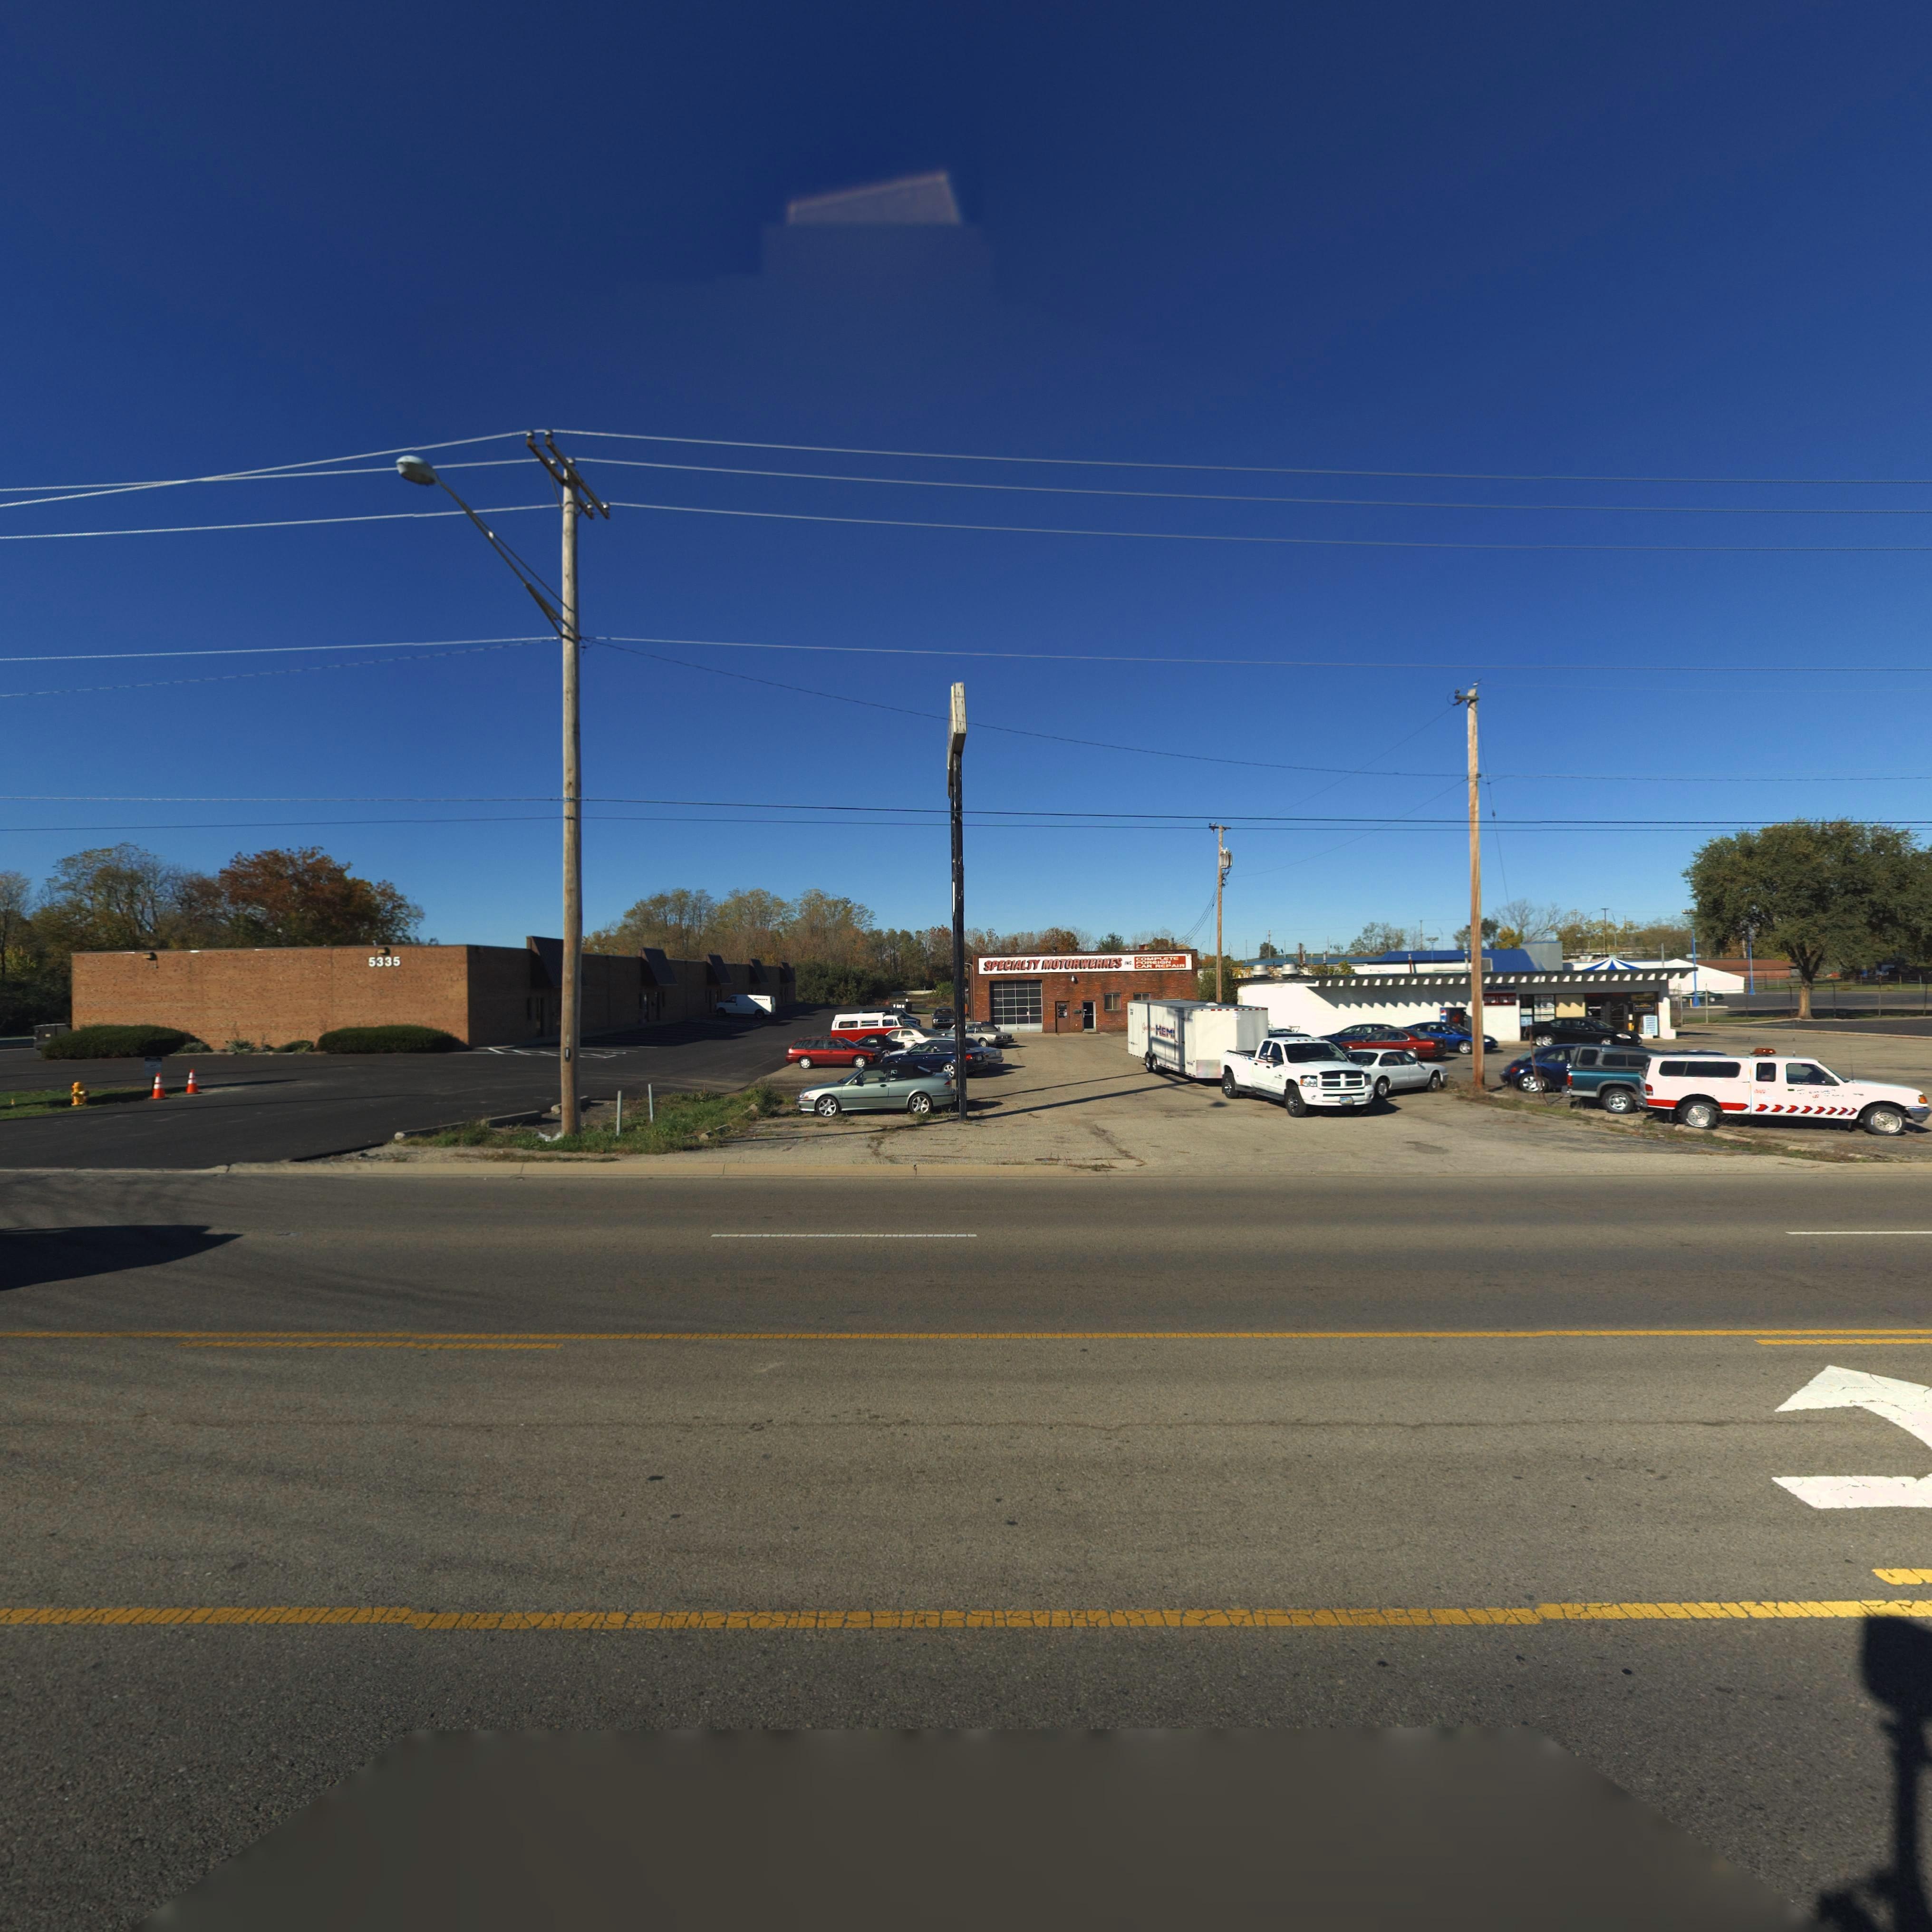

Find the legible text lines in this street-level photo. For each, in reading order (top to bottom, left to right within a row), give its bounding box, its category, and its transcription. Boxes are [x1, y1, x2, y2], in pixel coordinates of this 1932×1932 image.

[367, 956, 401, 967] StreetNumber: 5335